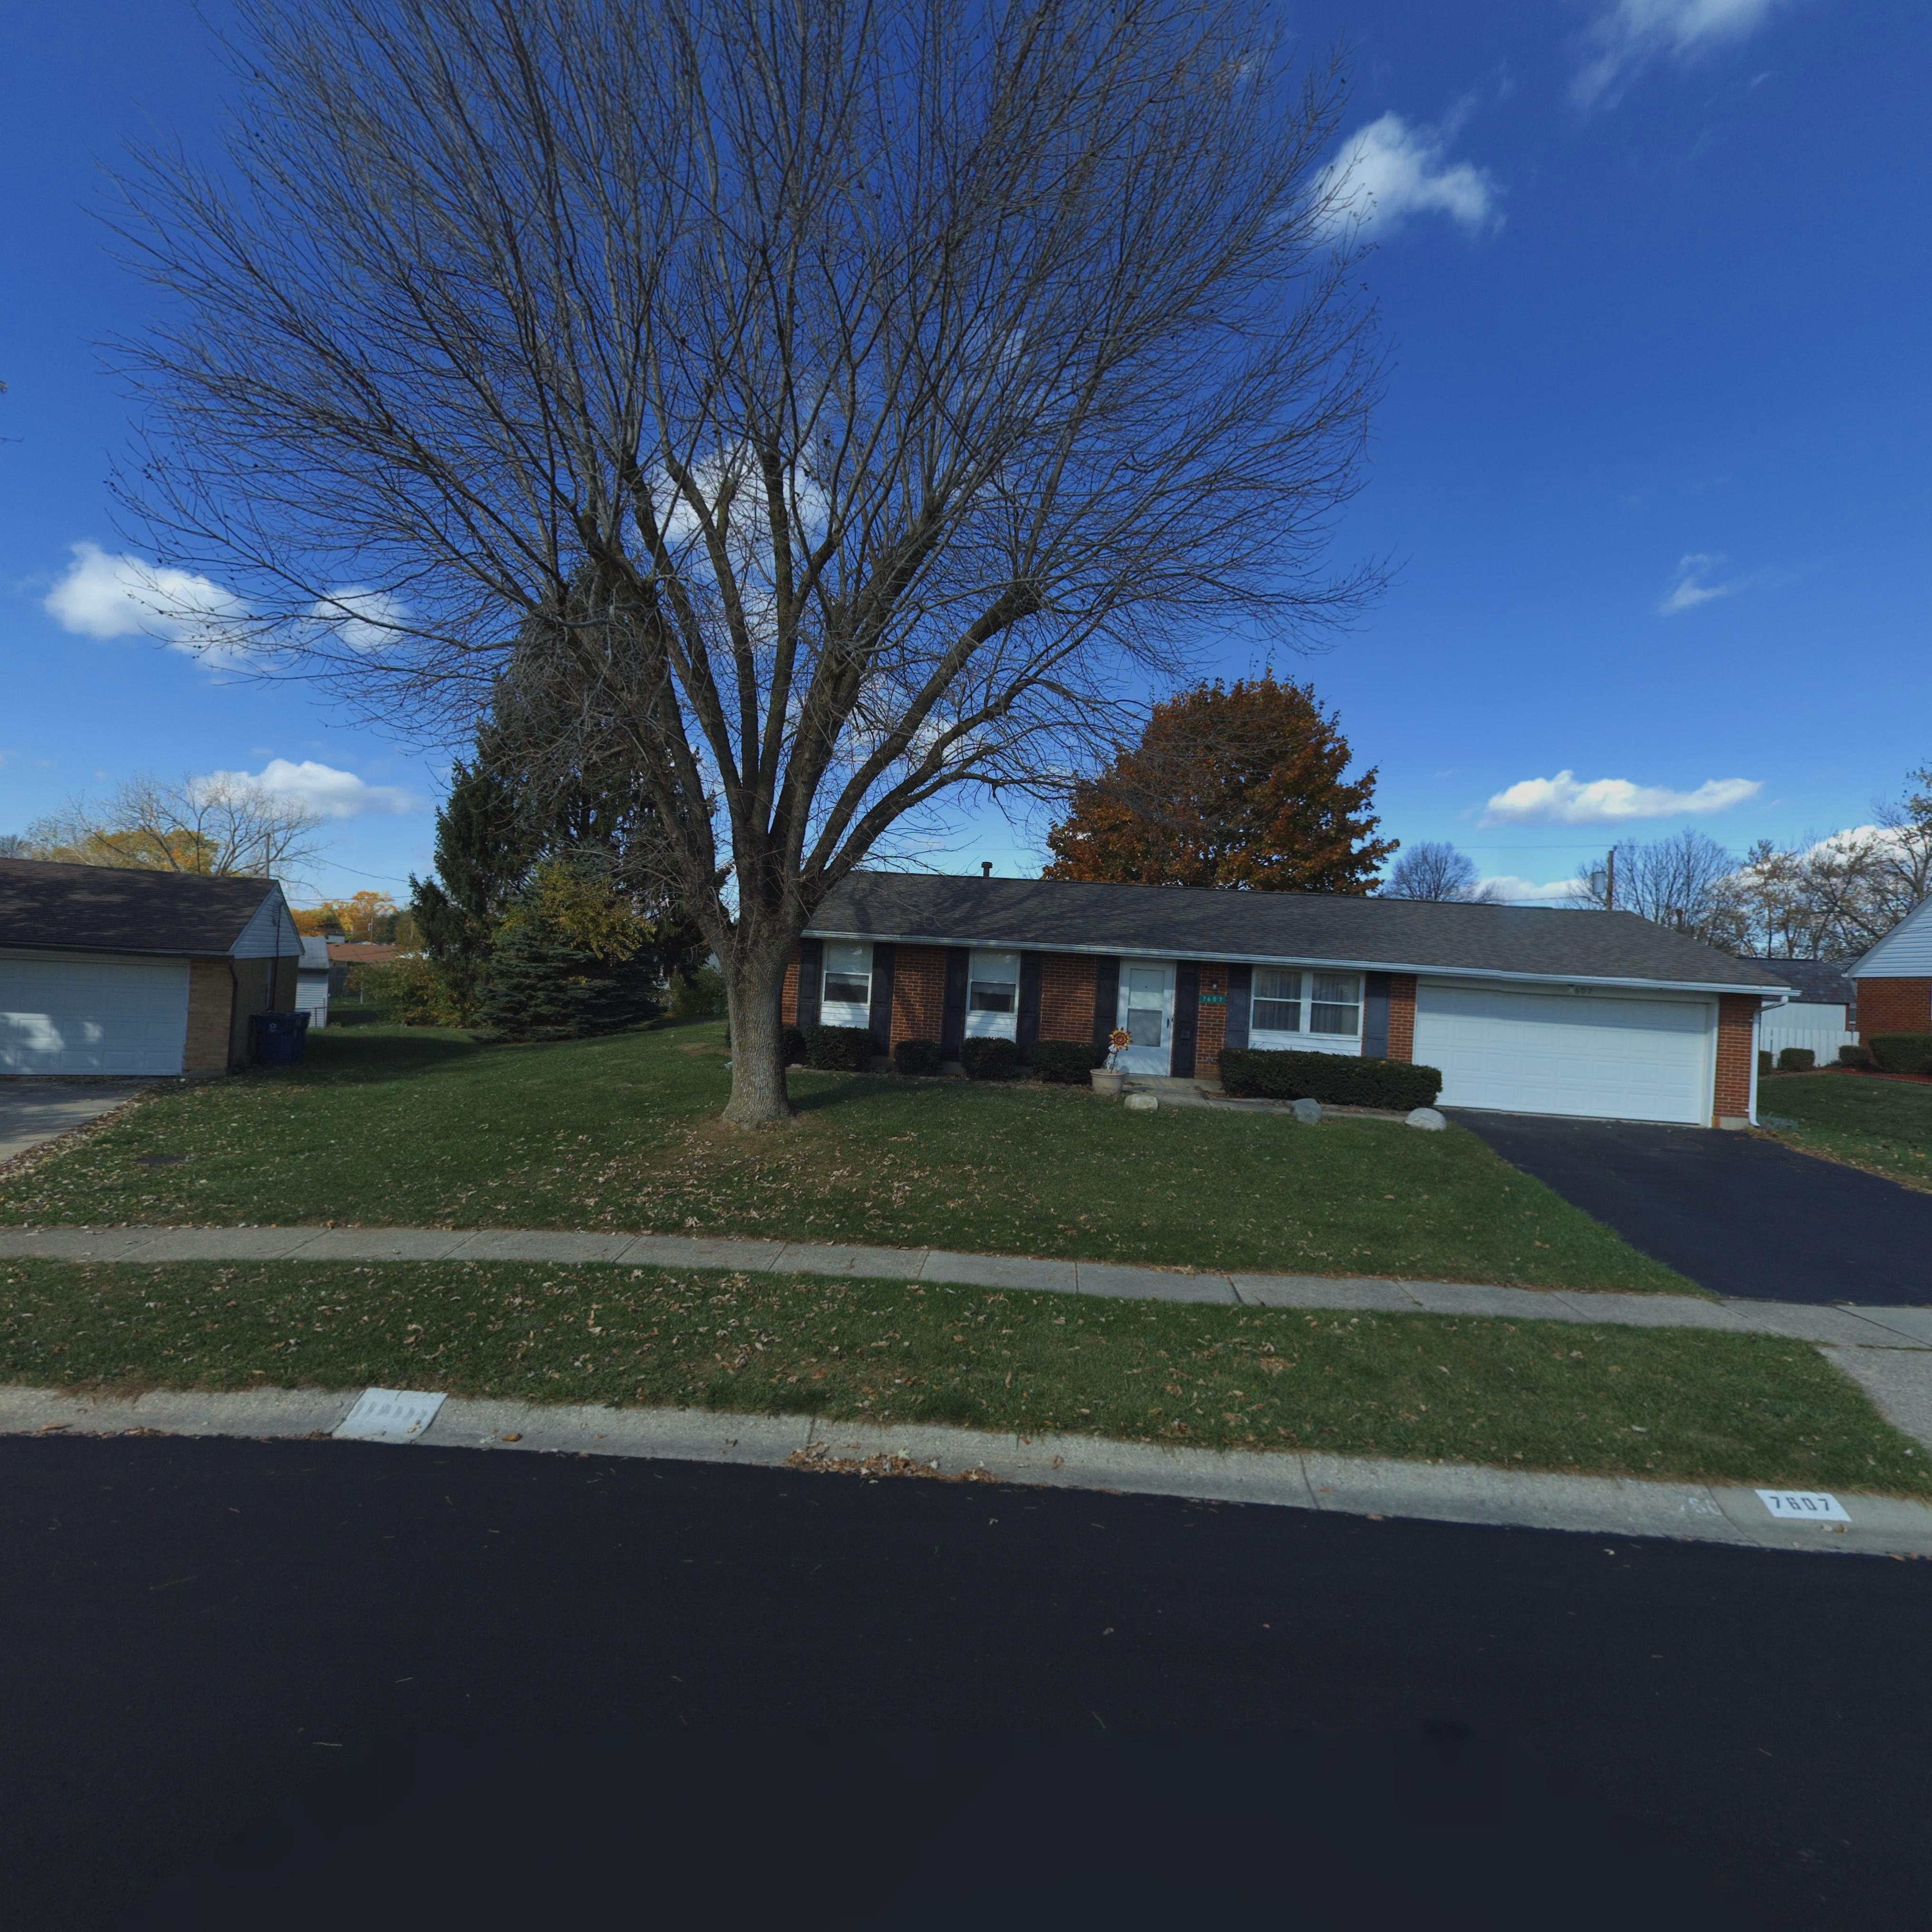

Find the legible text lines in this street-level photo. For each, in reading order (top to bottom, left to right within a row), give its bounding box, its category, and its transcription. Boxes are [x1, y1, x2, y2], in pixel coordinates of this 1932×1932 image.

[1202, 996, 1223, 1003] StreetNumber: 7607
[1687, 1496, 1725, 1517] StreetNumber: 60
[1768, 1495, 1829, 1511] StreetNumber: 7607